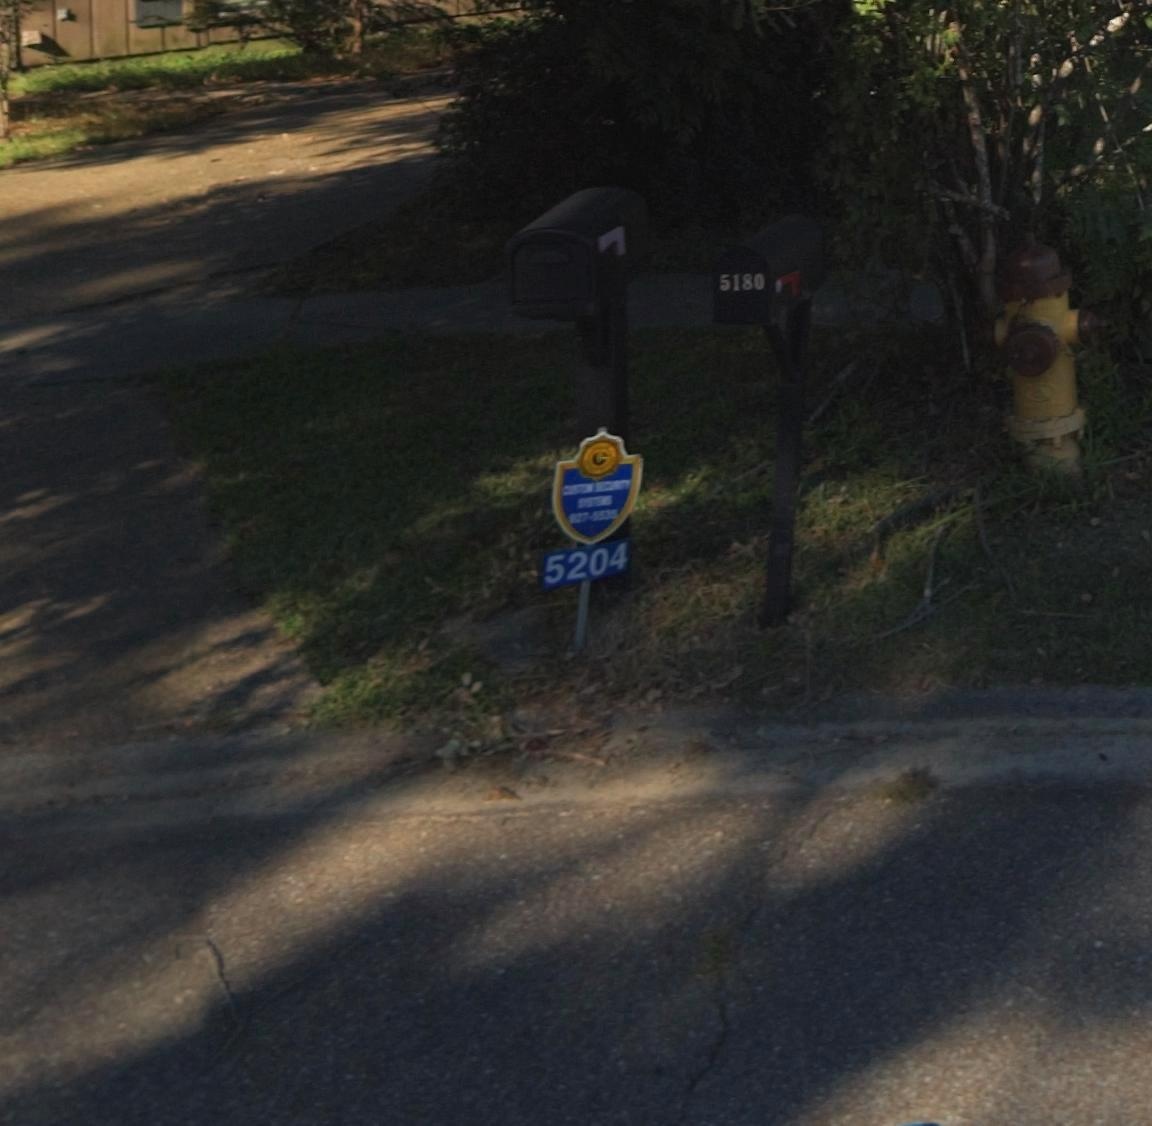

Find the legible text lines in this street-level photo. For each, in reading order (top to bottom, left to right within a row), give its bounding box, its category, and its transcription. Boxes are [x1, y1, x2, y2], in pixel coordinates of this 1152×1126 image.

[717, 270, 768, 294] StreetNumber: 5180
[541, 538, 632, 588] StreetNumber: 5204